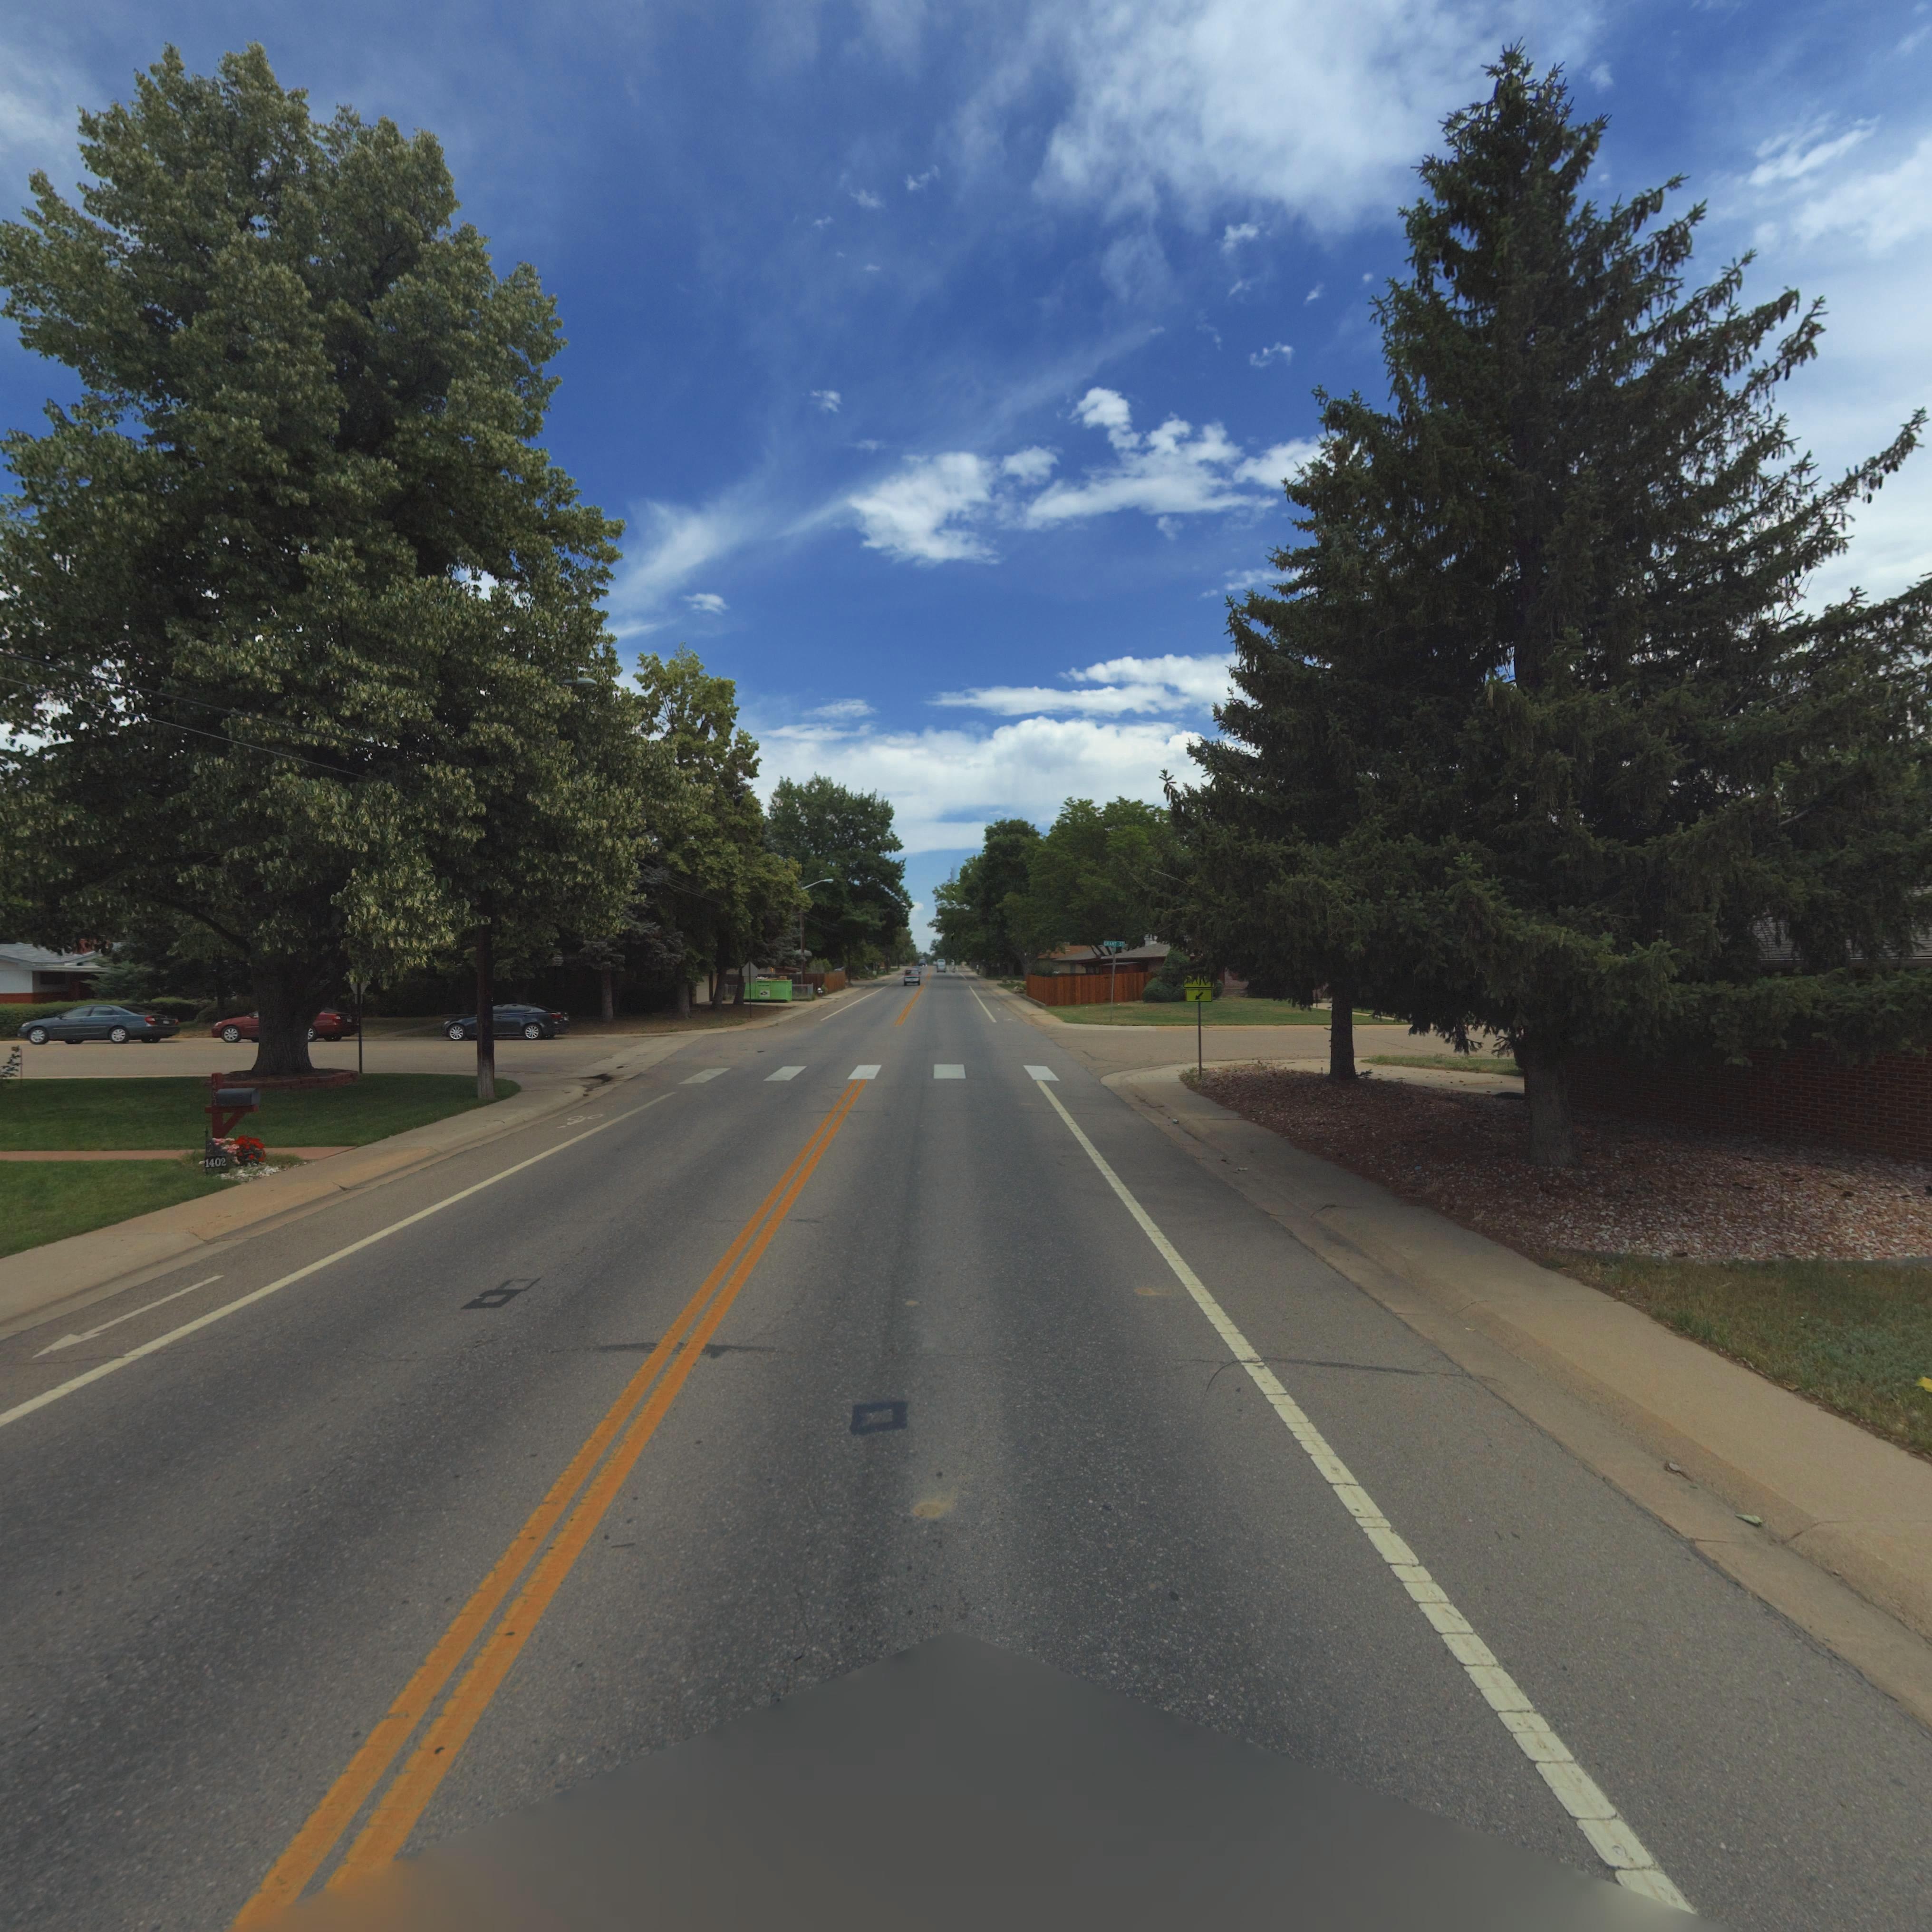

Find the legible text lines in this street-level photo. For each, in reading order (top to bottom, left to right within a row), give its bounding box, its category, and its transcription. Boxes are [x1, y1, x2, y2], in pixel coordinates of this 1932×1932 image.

[1103, 941, 1124, 947] StreetName: GRANT ST
[205, 1157, 226, 1168] StreetNumber: 1402